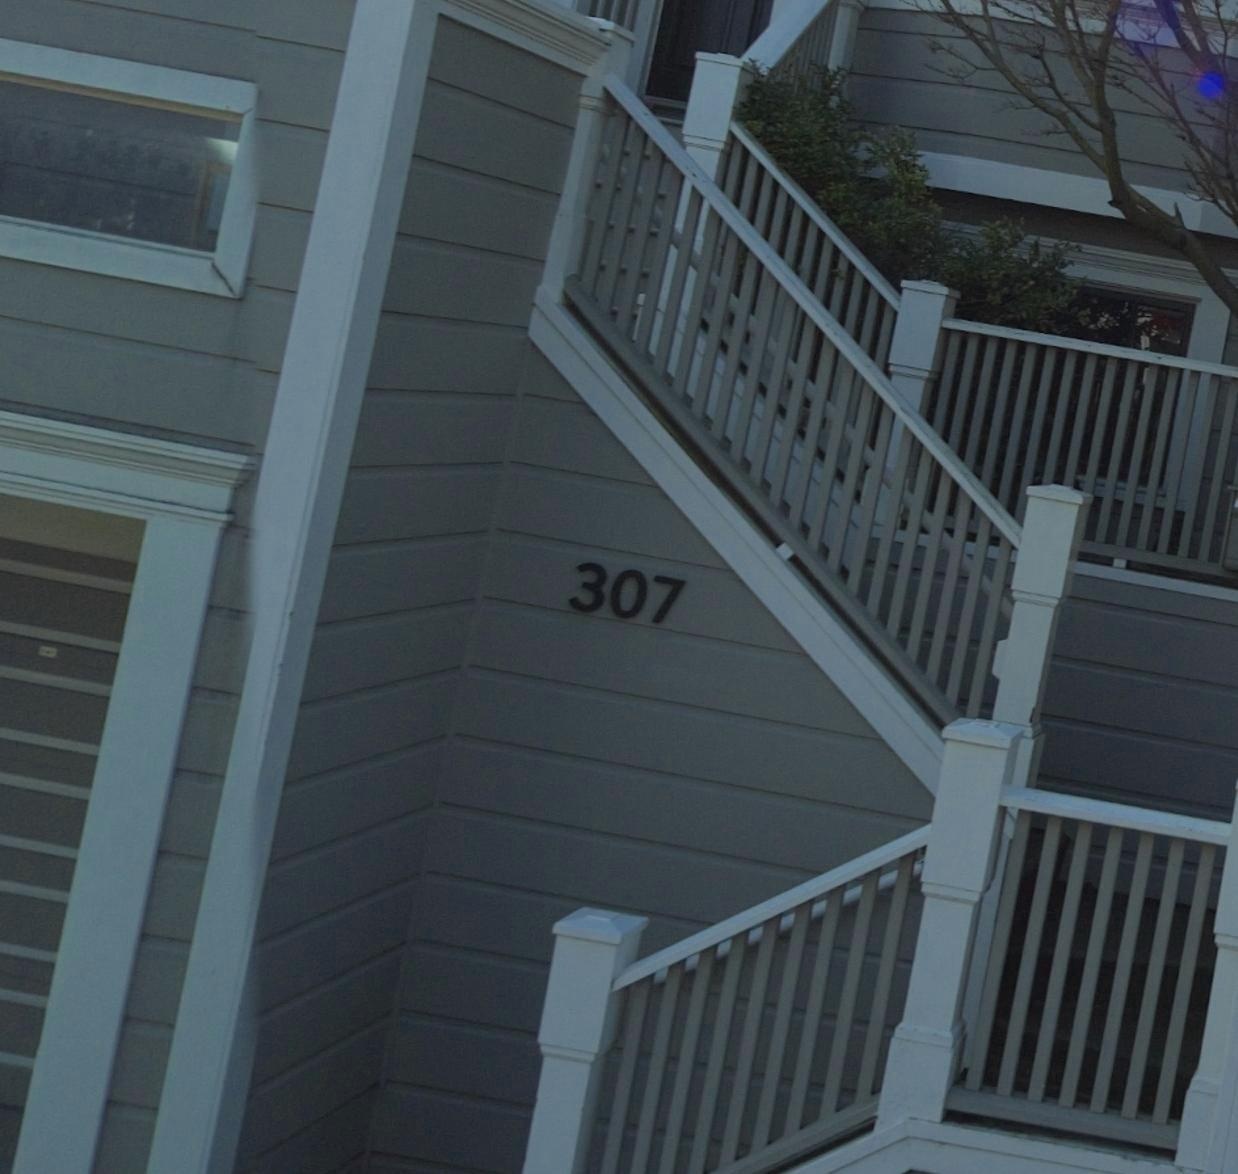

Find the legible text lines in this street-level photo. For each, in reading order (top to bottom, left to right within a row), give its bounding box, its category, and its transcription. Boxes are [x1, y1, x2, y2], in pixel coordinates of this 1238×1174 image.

[564, 556, 691, 626] StreetNumber: 307